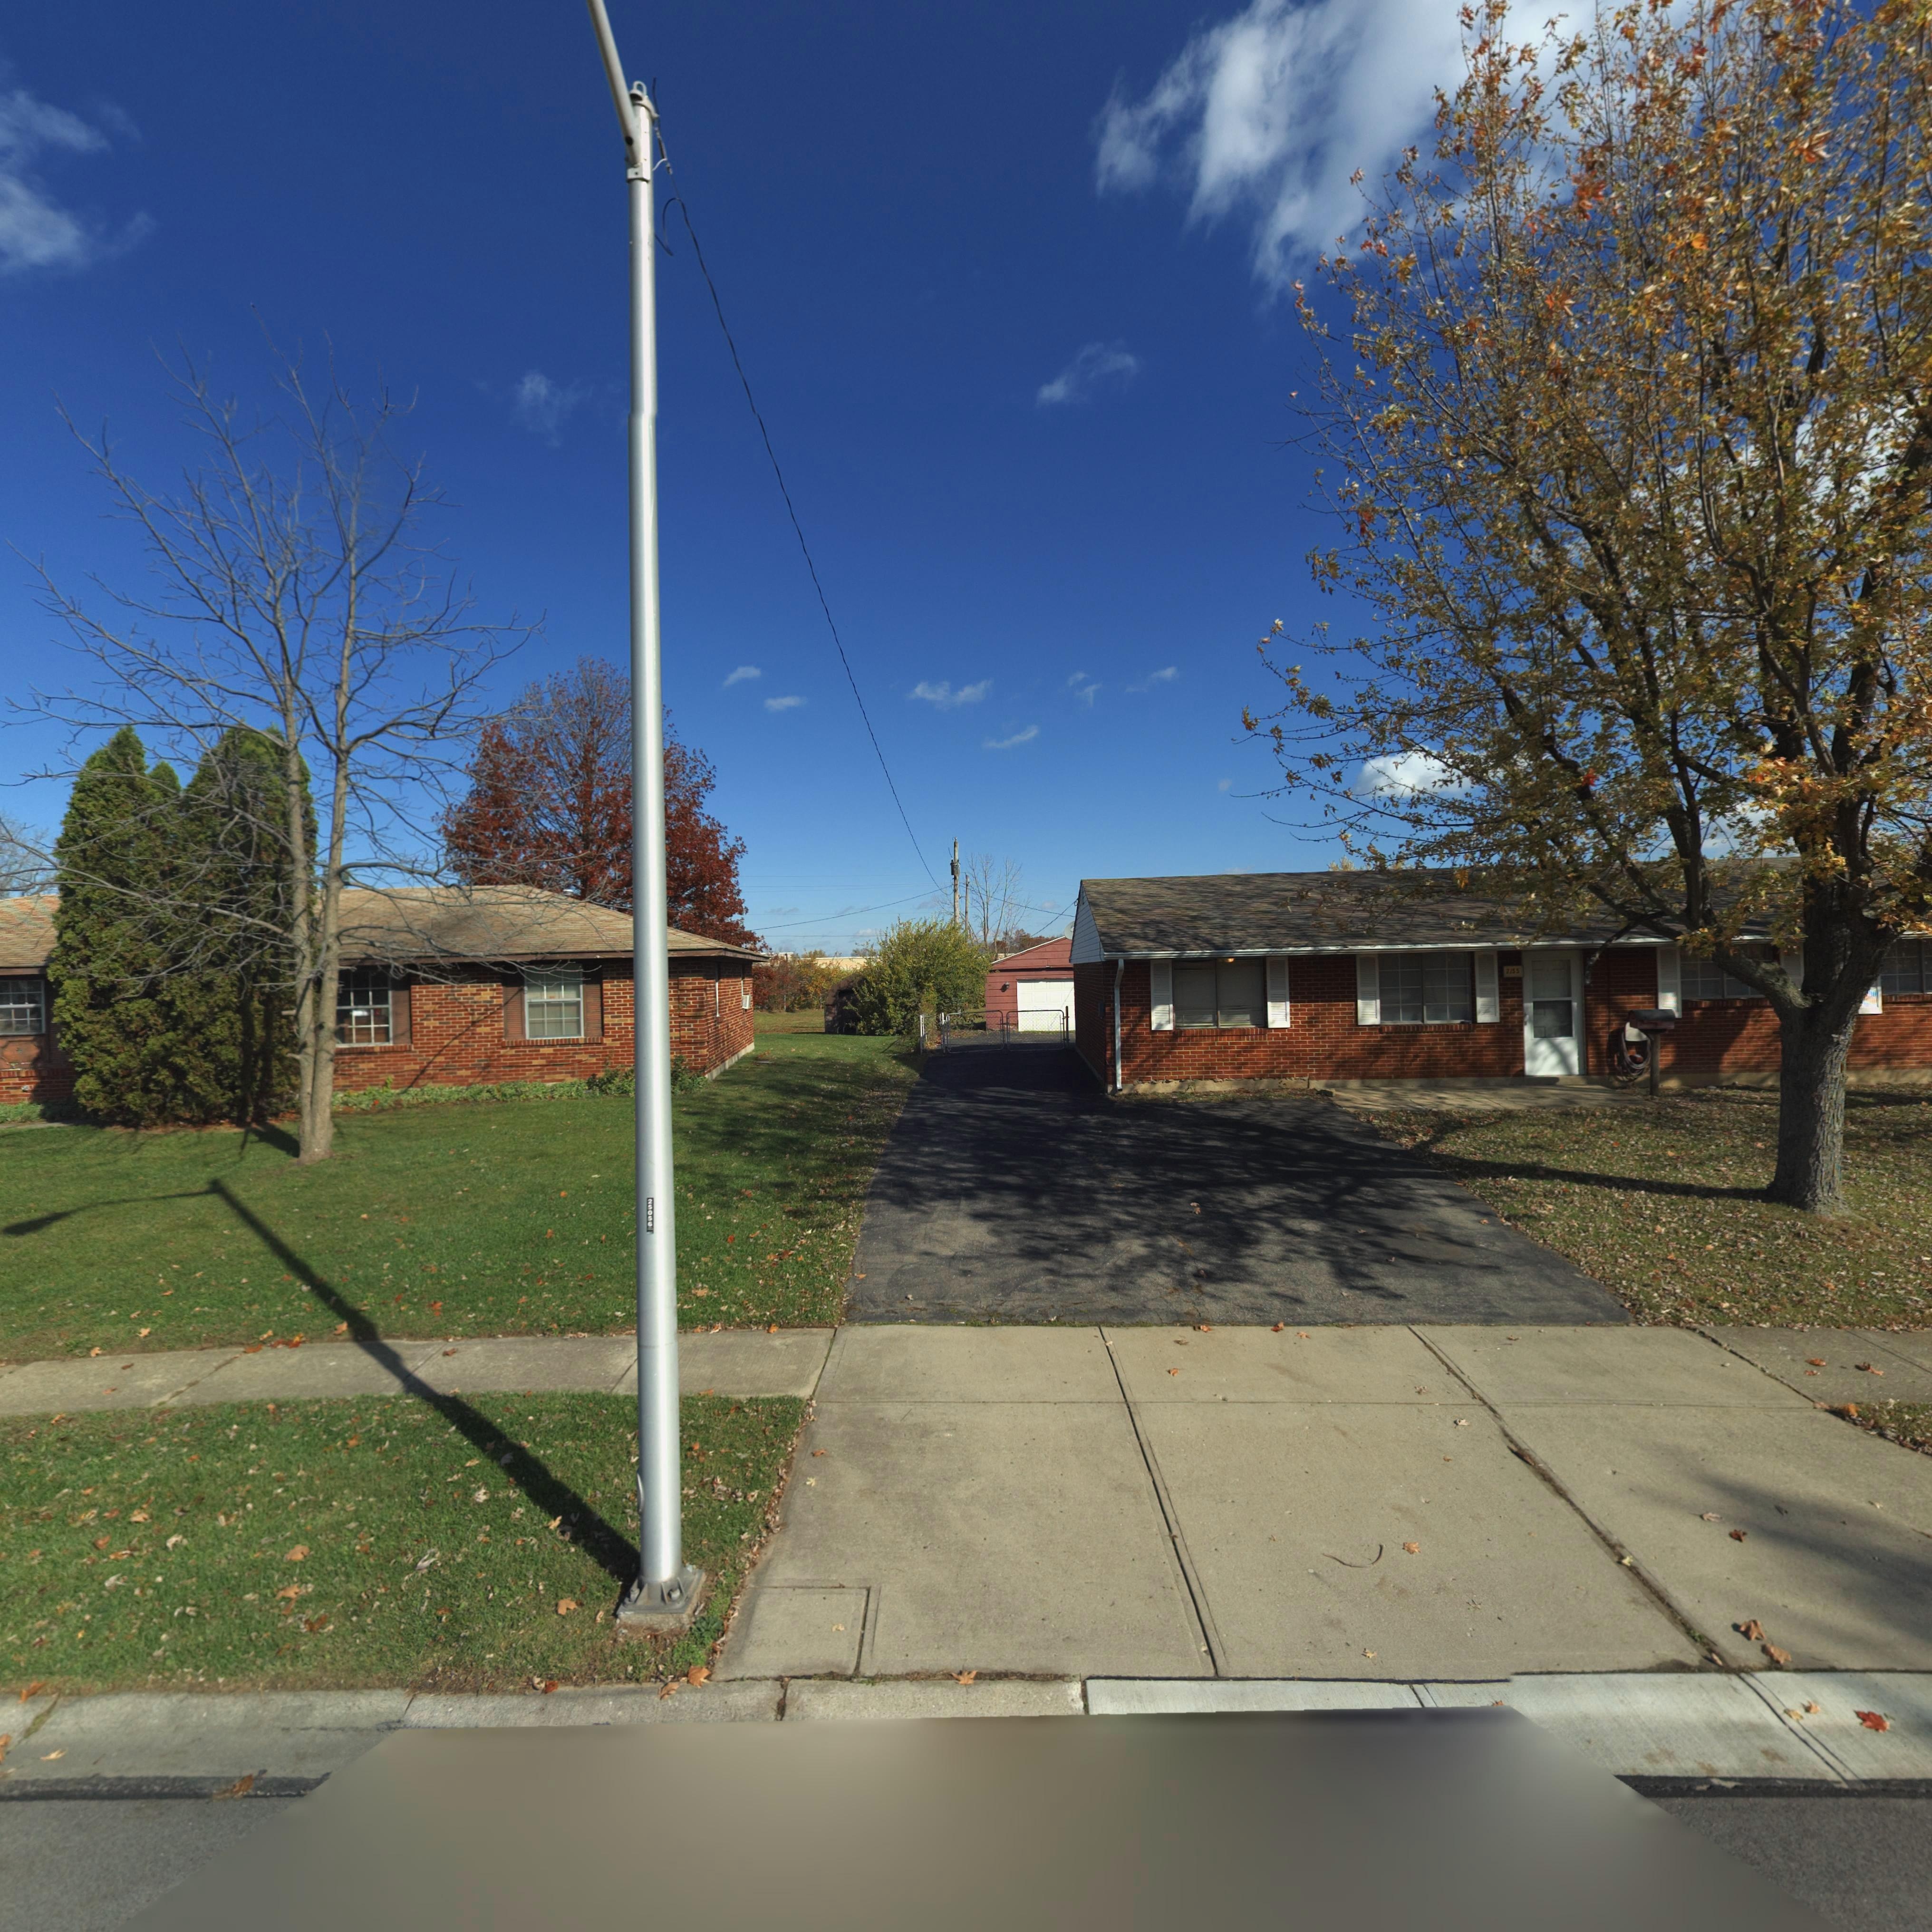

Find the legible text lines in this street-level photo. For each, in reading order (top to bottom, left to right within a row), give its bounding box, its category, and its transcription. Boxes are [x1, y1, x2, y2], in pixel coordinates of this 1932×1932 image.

[1505, 967, 1521, 975] StreetNumber: 7155